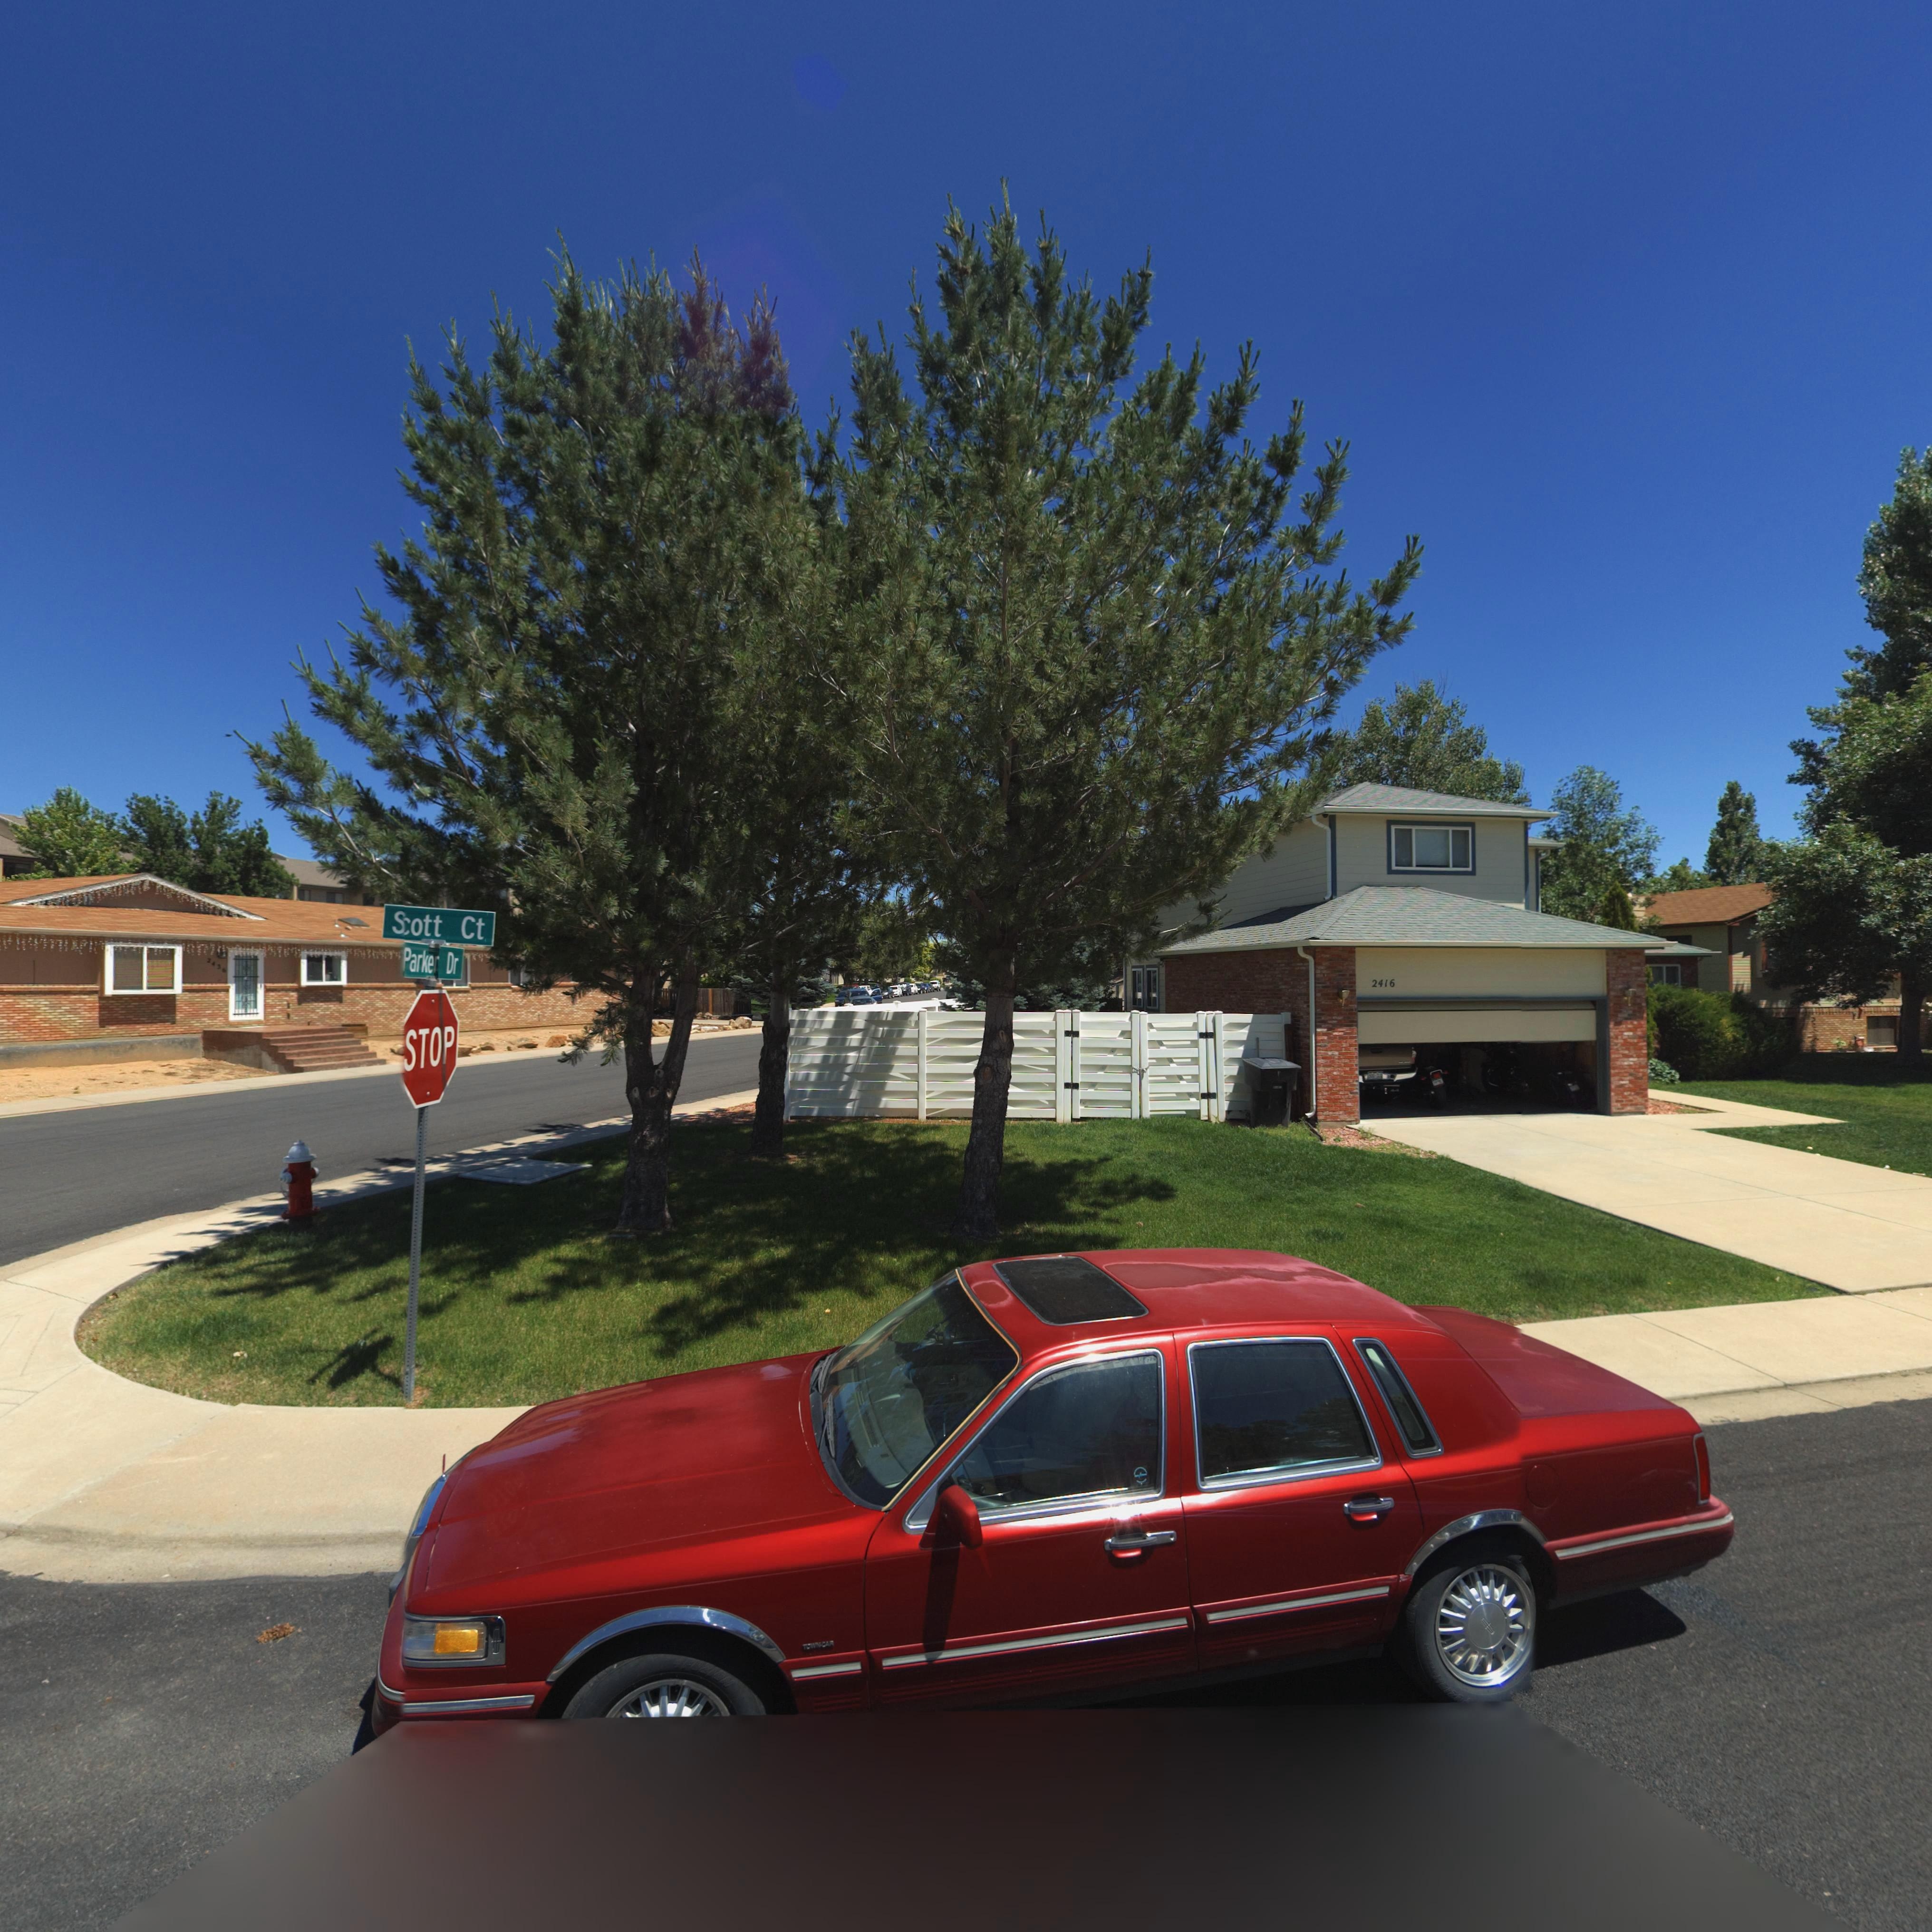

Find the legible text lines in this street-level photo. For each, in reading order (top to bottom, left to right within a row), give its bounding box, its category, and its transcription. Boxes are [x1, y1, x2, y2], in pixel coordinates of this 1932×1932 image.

[392, 910, 485, 940] StreetName: S*ott Ct
[206, 957, 226, 973] StreetNumber: 2436
[402, 947, 459, 975] StreetName: Parker Dr
[1372, 979, 1395, 987] StreetNumber: 2416